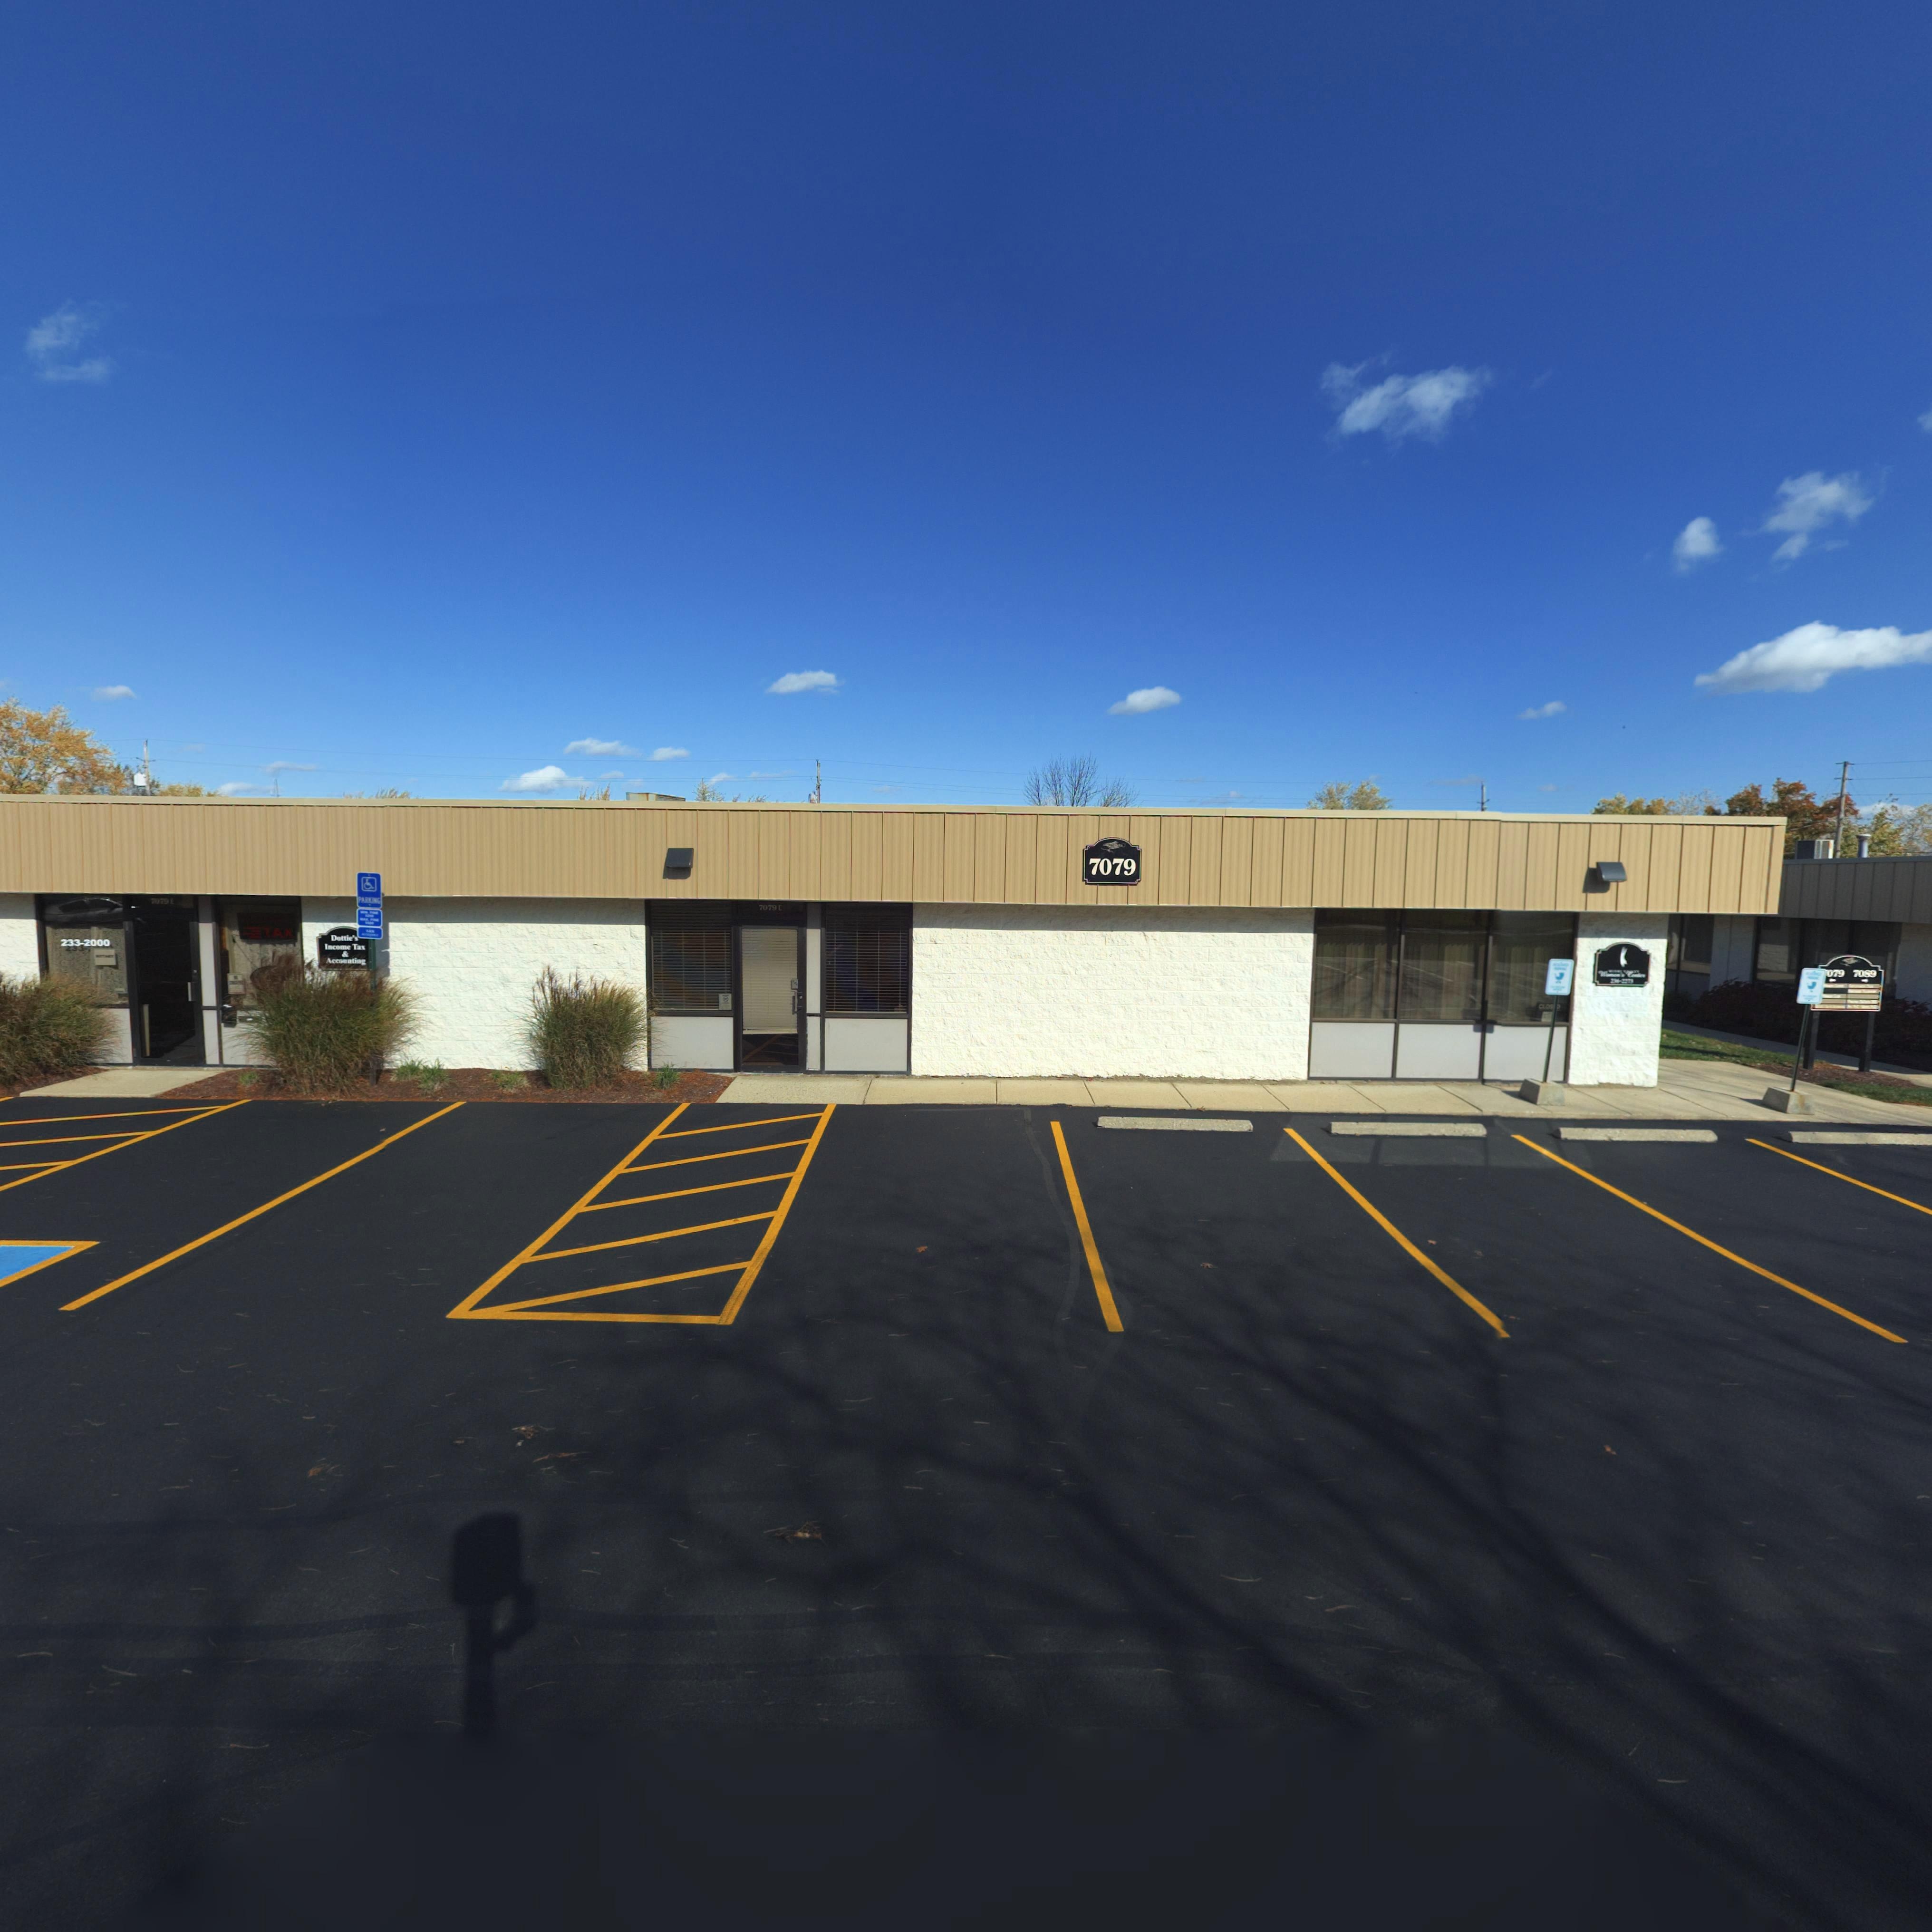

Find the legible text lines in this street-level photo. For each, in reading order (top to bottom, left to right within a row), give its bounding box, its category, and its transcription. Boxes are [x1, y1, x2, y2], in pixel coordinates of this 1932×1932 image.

[1088, 857, 1137, 877] StreetNumber: 7079
[149, 897, 175, 906] StreetNumber: 7079 *
[758, 904, 783, 912] StreetNumber: 7079 C
[1826, 968, 1846, 978] StreetNumber: 079
[1852, 968, 1879, 979] StreetNumber: 7089